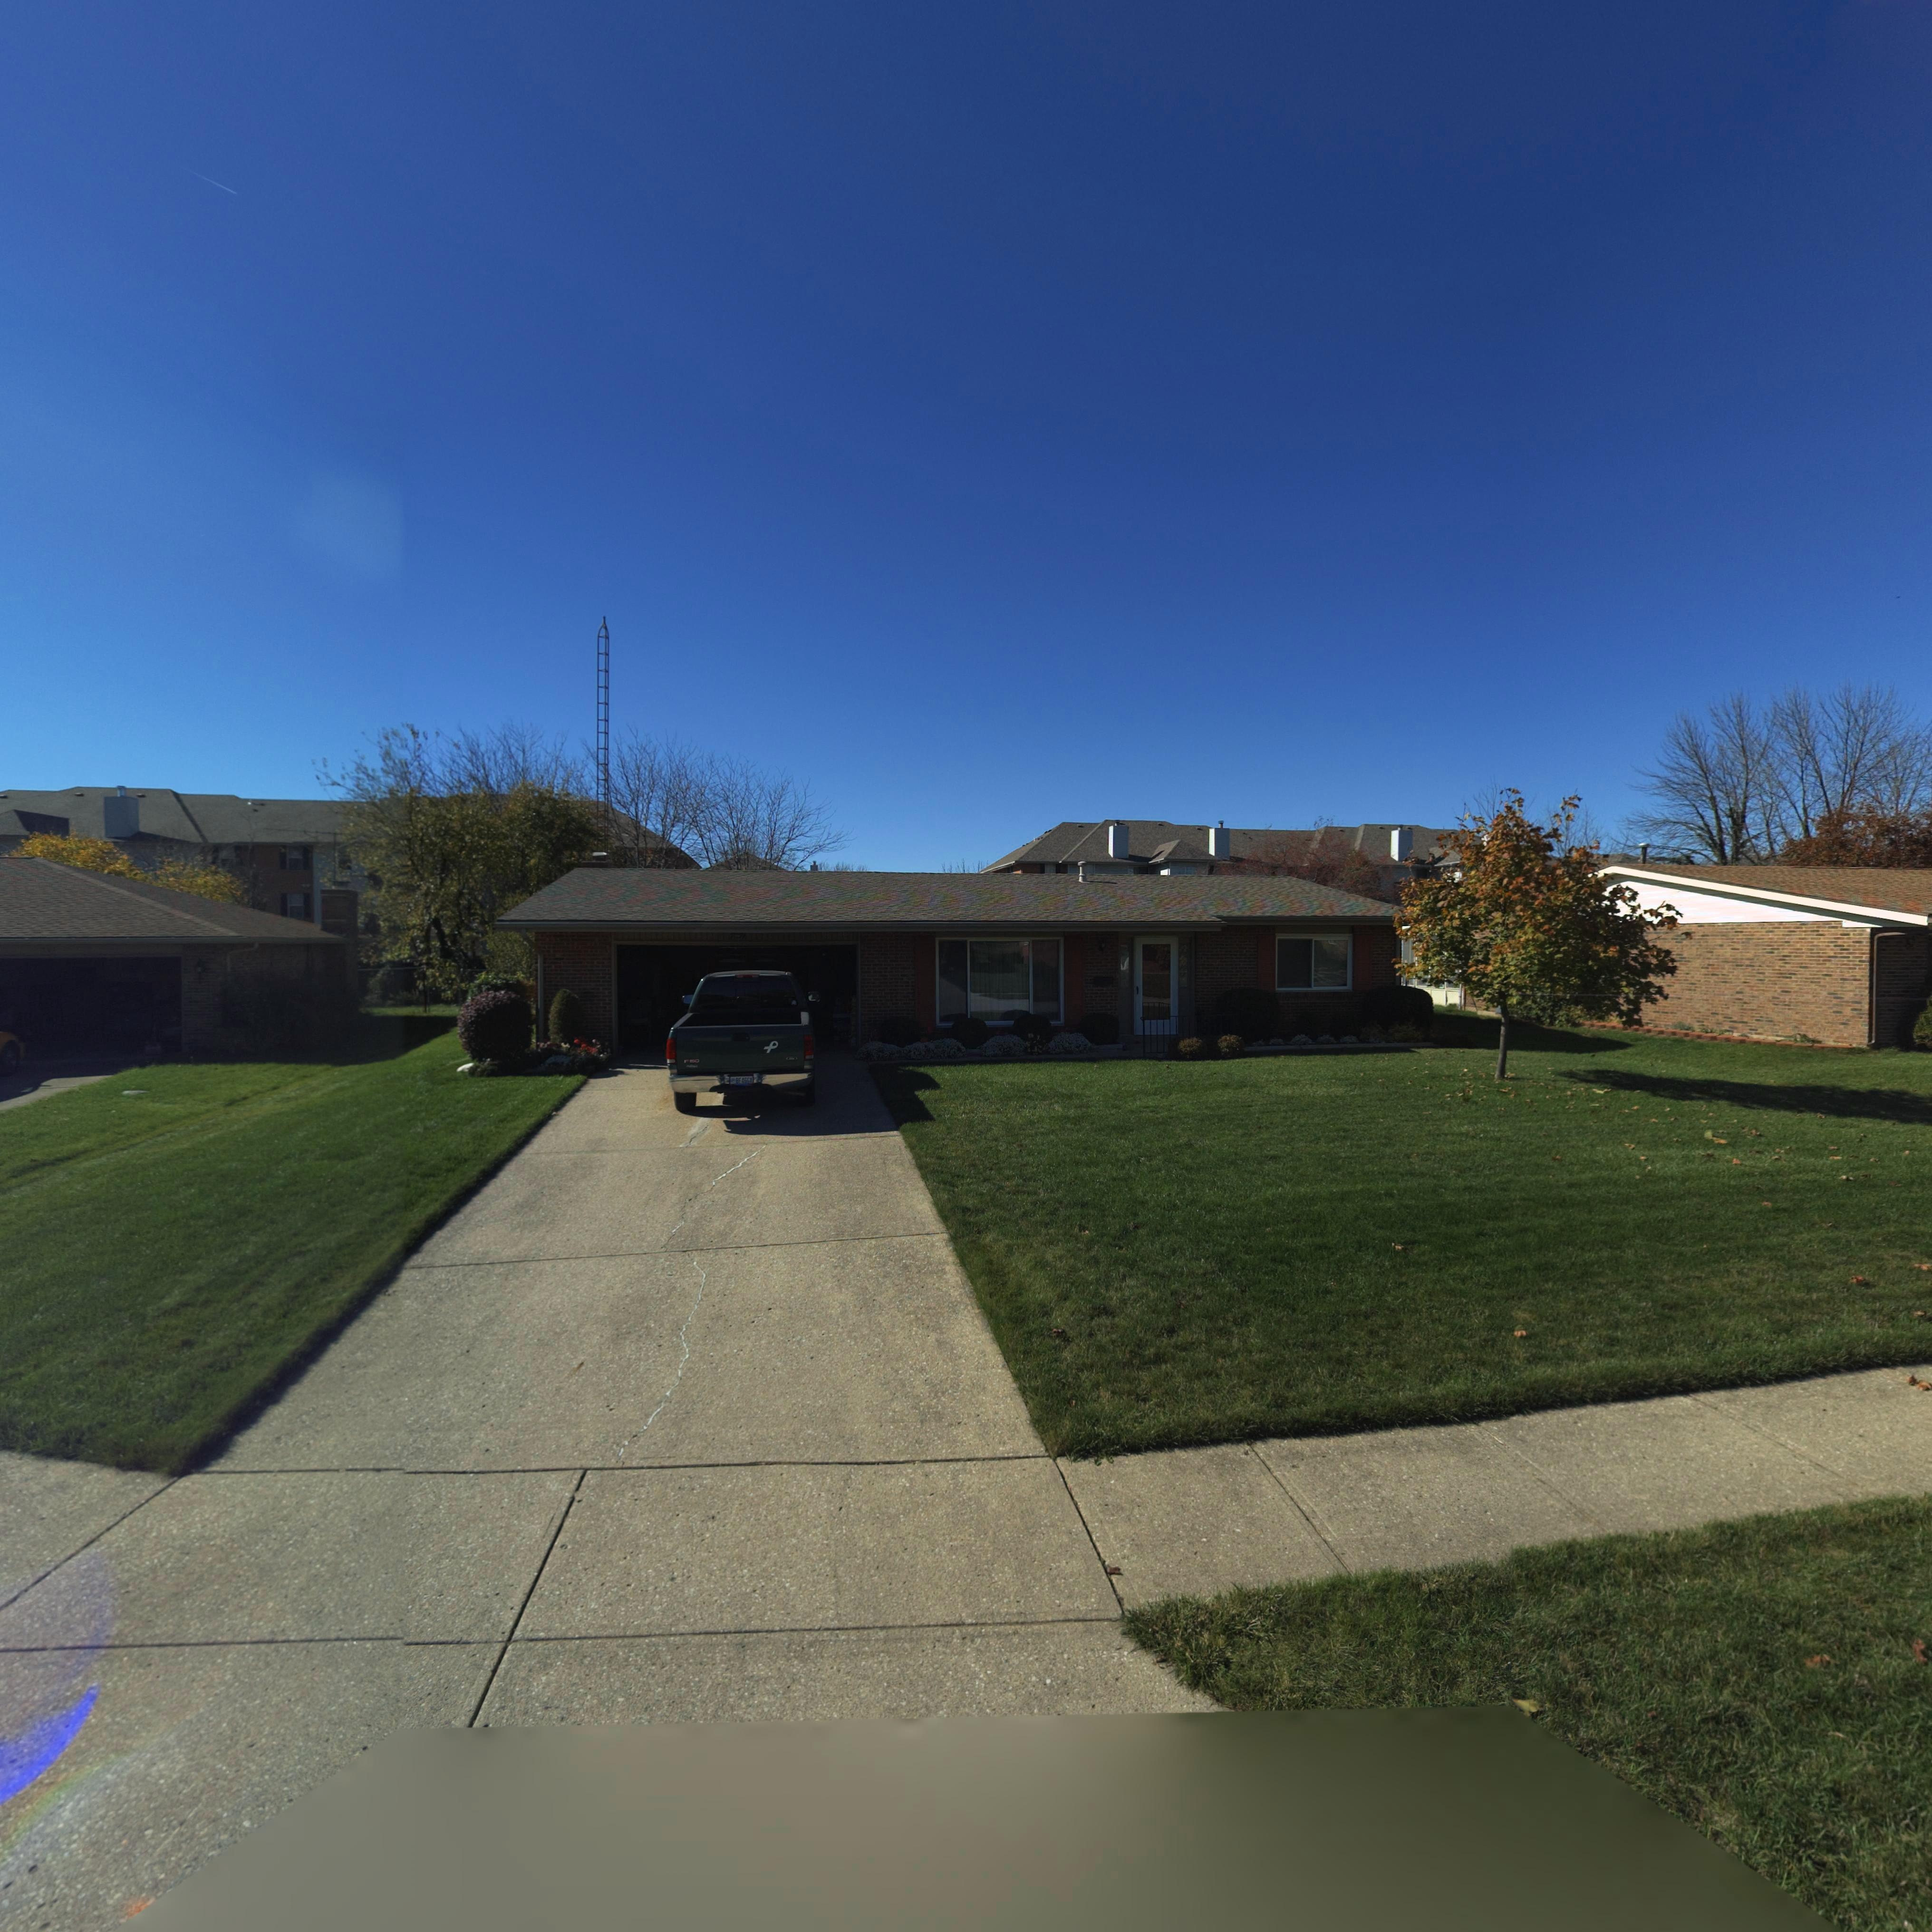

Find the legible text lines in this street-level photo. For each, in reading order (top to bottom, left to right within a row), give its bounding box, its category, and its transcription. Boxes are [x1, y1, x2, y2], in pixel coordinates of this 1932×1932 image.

[729, 932, 747, 941] StreetNumber: 7*9
[41, 947, 57, 953] StreetNumber: 7*1